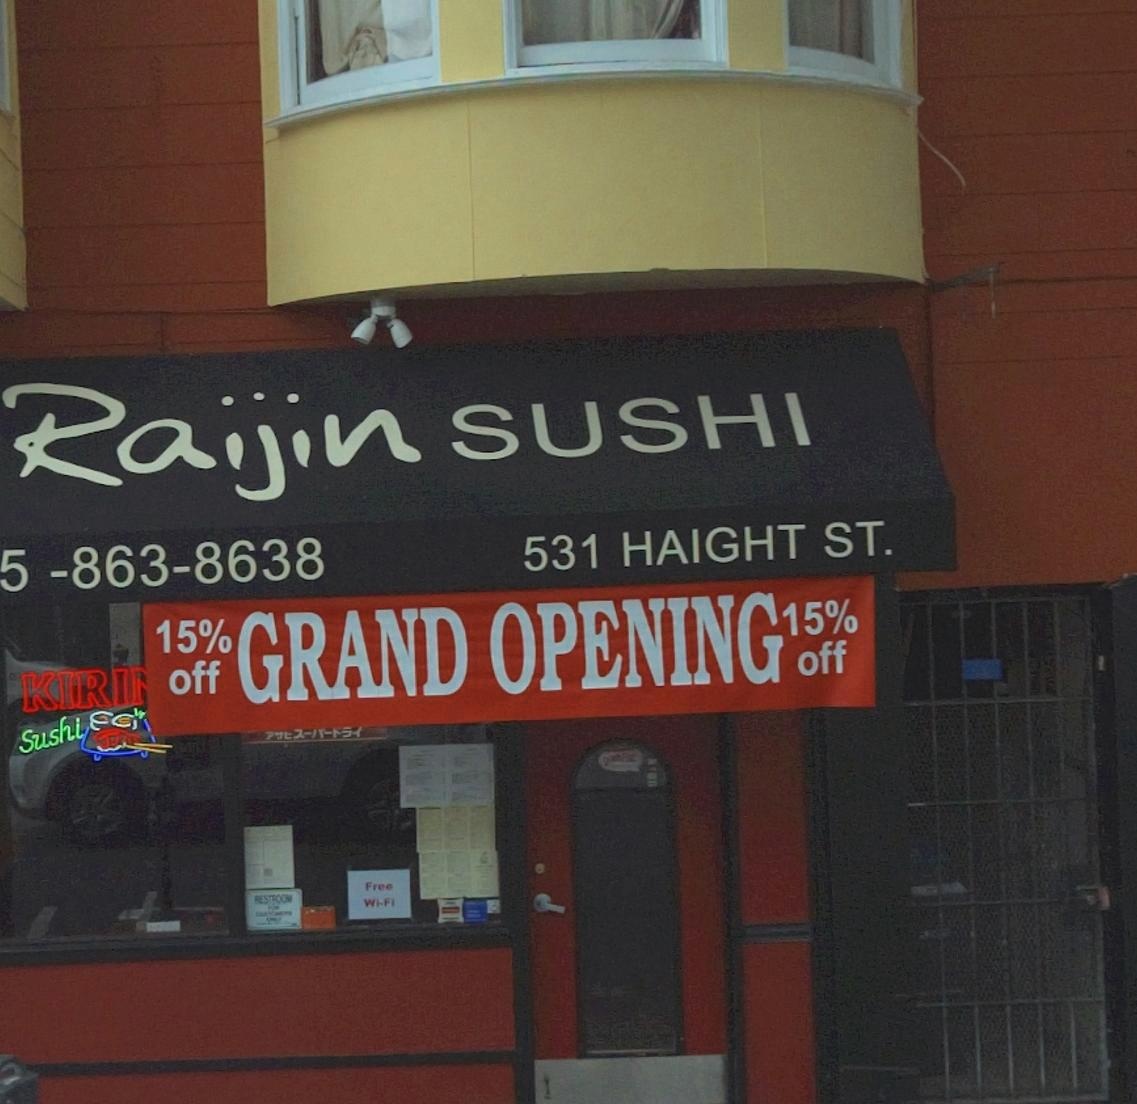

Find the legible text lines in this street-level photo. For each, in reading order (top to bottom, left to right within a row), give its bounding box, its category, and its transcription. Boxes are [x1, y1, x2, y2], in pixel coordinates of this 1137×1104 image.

[0, 373, 824, 511] BusinessName: Raijin SUSHI
[0, 531, 331, 598] None: 5-863-8638
[521, 530, 603, 576] StreetNumber: 531
[617, 514, 899, 574] StreetName: HAIGHT ST.
[16, 661, 137, 720] None: KIRI
[153, 615, 201, 657] None: 15
[164, 656, 225, 699] None: off
[228, 586, 793, 713] None: GRAND OPENING
[779, 598, 828, 640] None: 15
[794, 637, 850, 680] None: off
[14, 713, 86, 758] None: Sushi
[252, 892, 295, 907] None: RESTROOM
[360, 894, 398, 911] None: Wi-Fi
[363, 878, 396, 894] None: Free